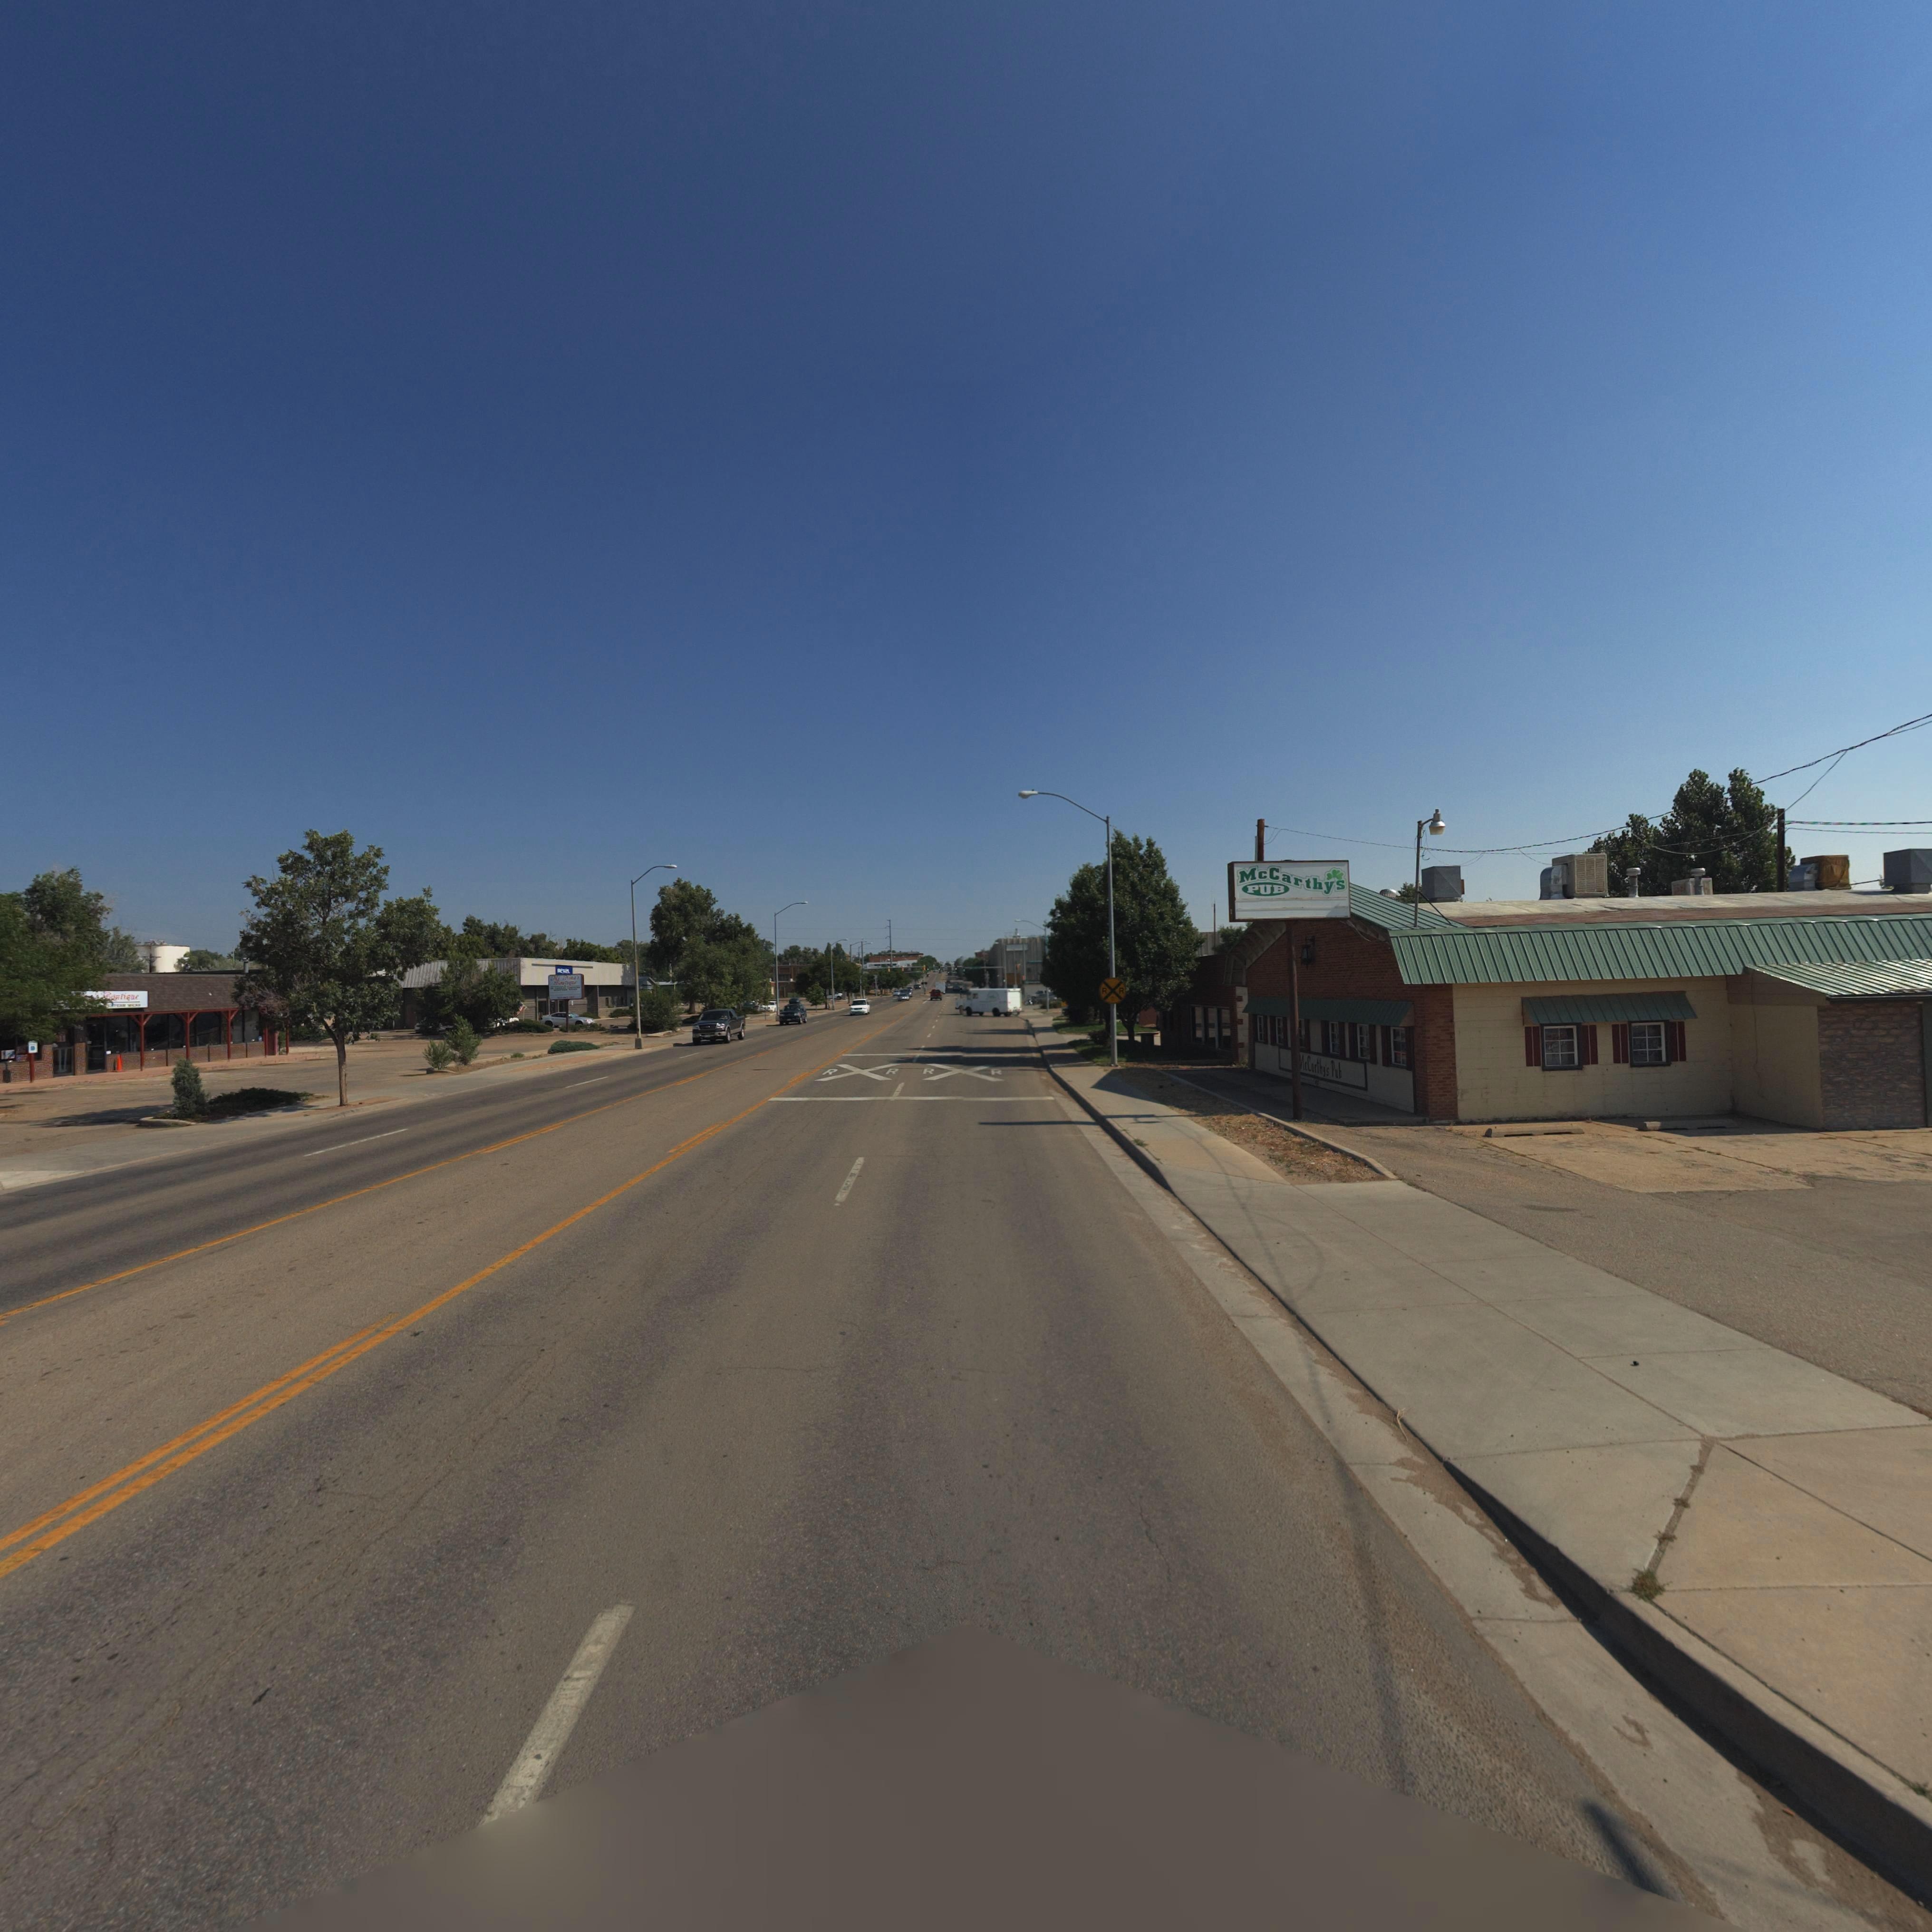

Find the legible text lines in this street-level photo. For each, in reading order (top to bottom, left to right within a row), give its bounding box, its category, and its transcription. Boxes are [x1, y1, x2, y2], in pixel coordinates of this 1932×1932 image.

[1238, 867, 1346, 894] BusinessName: McCarthy's
[1246, 884, 1285, 895] BusinessName: PUB
[557, 968, 570, 974] BusinessName: REXEL
[550, 974, 580, 982] BusinessName: My ****'s
[1298, 1053, 1343, 1079] BusinessName: McCarthy's Pub